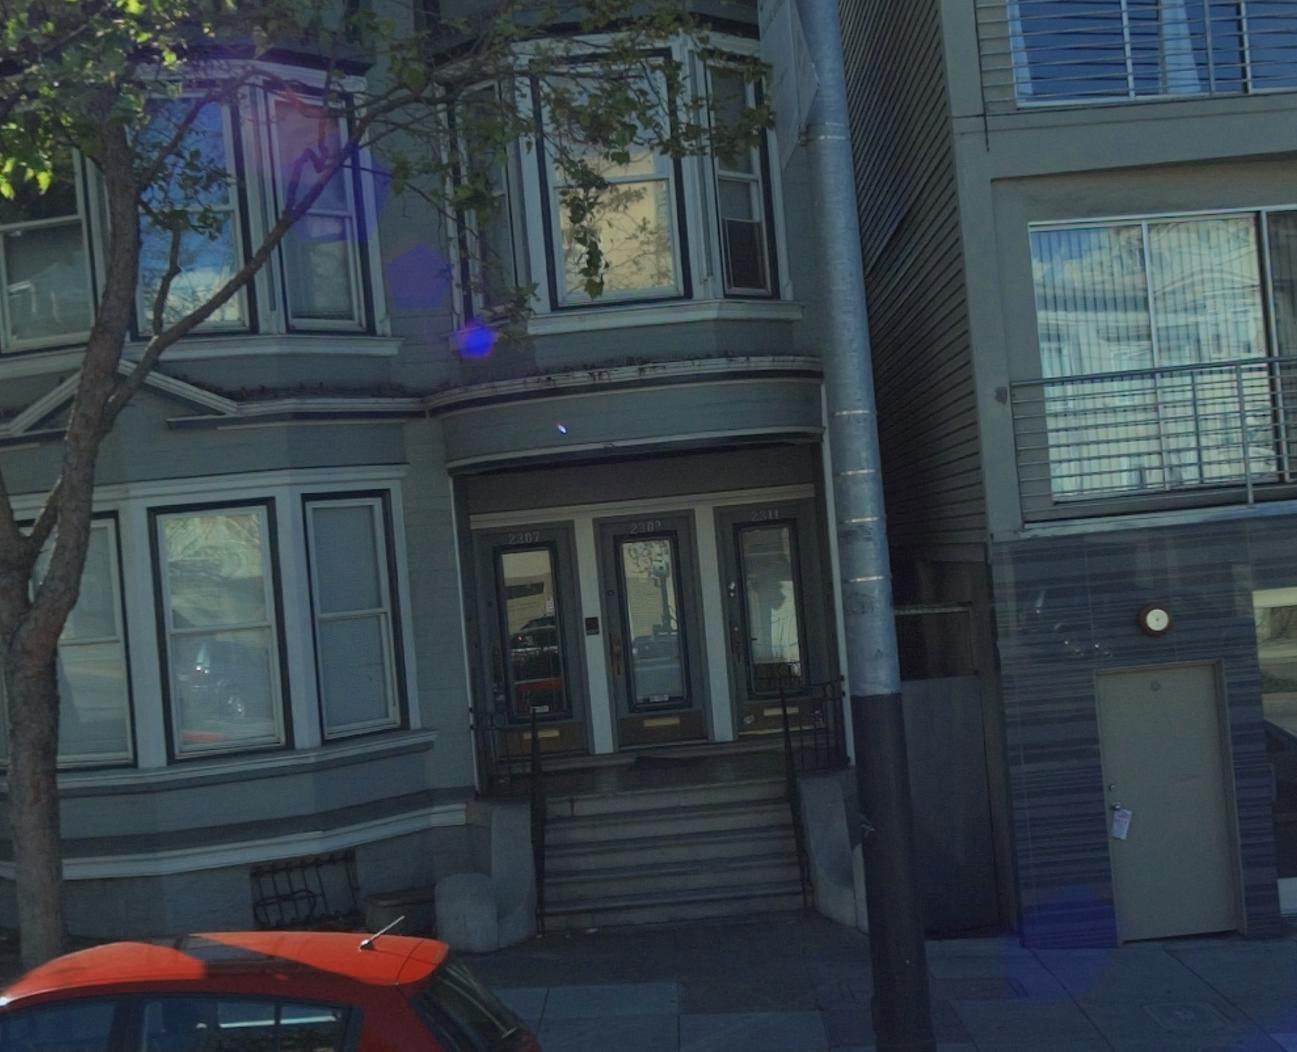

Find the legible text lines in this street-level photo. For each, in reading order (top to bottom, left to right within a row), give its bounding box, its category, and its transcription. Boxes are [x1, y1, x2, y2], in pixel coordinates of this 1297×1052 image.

[749, 507, 781, 523] StreetNumber: 2311
[629, 519, 663, 536] StreetNumber: 230*
[506, 529, 541, 546] StreetNumber: 2307